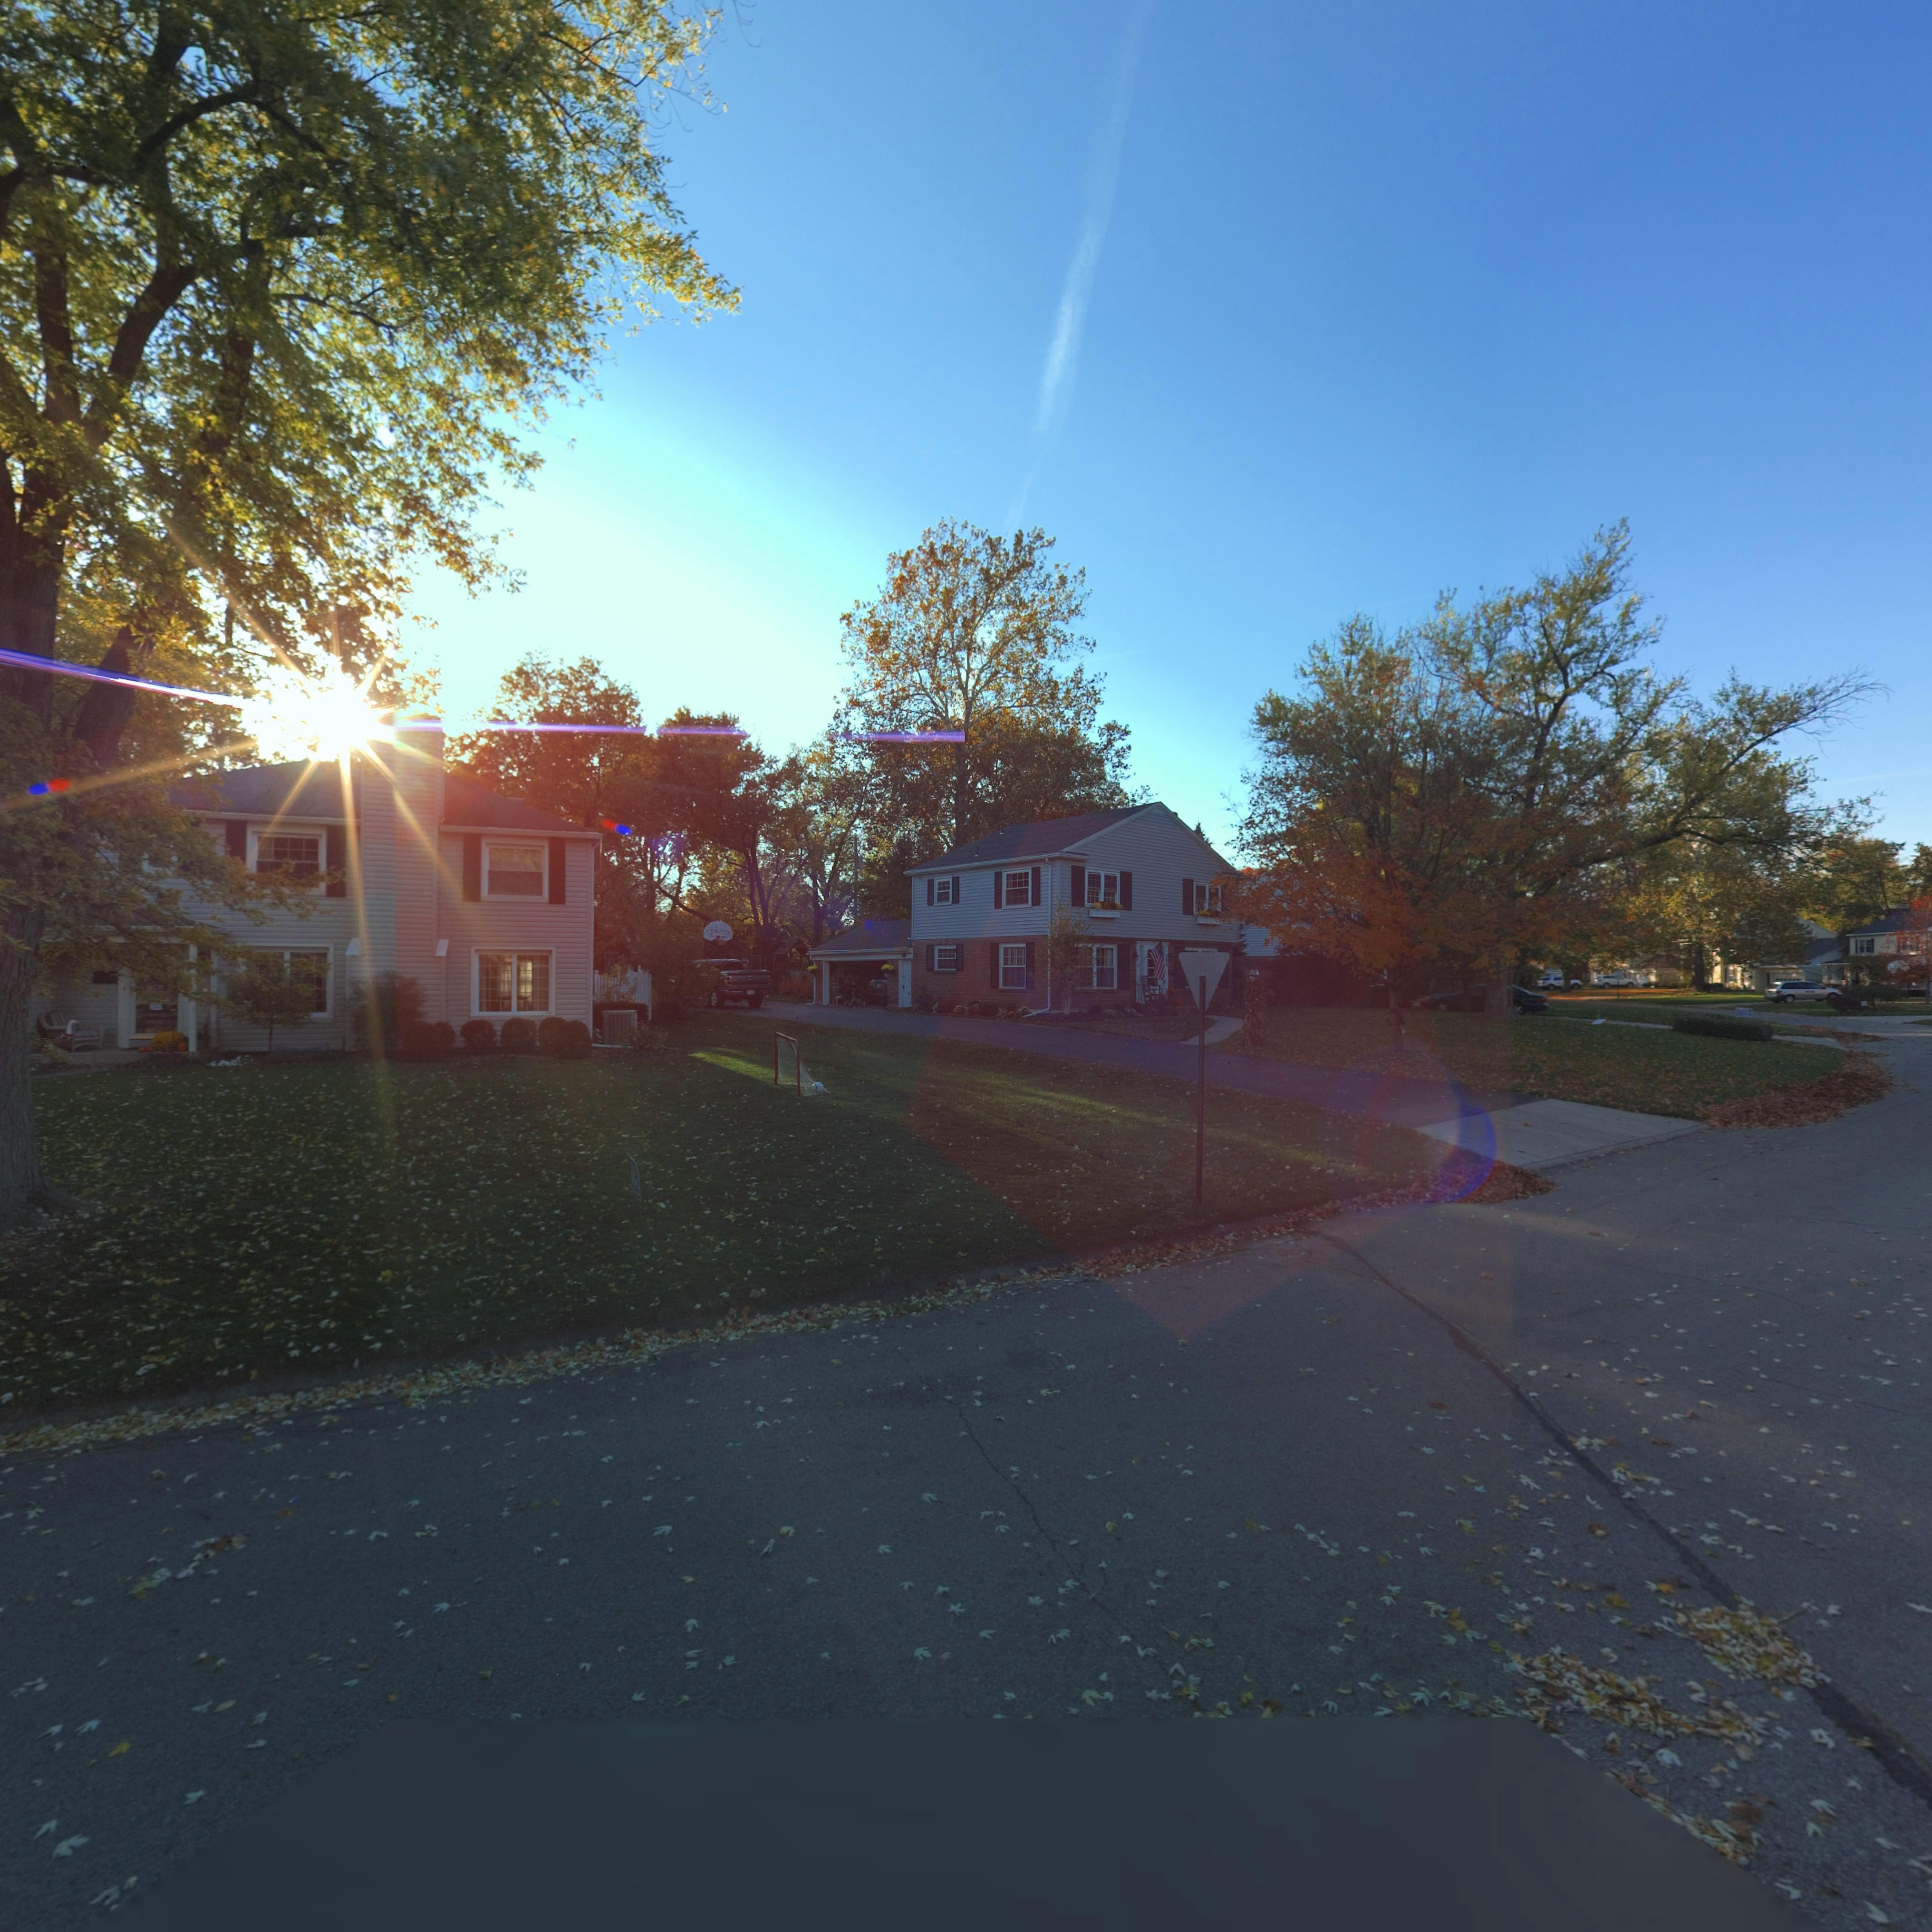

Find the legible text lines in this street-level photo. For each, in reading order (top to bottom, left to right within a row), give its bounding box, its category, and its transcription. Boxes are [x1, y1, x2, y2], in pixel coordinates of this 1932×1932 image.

[1165, 954, 1169, 966] StreetNumber: *00